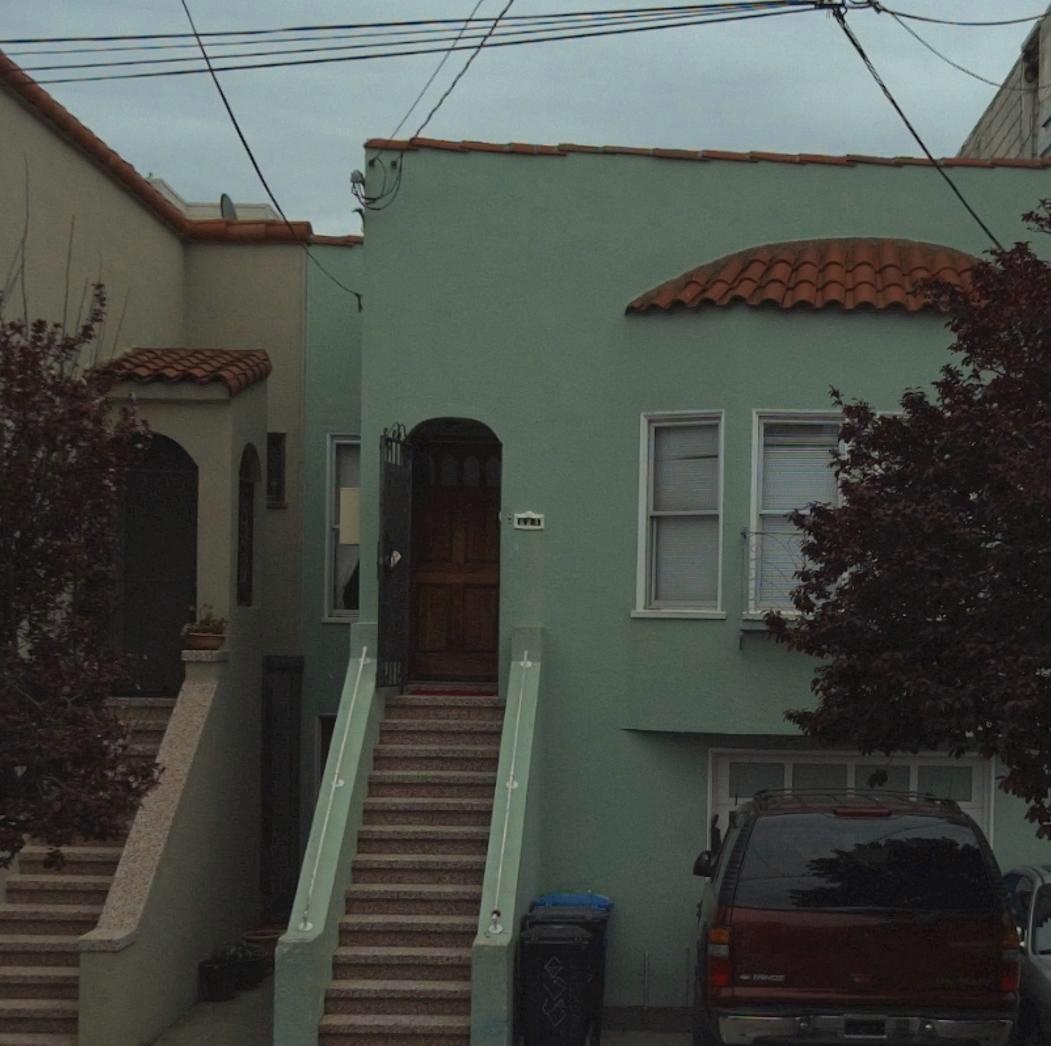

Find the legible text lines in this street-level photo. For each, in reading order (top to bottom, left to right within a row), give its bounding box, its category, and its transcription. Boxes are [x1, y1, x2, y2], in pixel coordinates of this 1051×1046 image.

[517, 517, 541, 526] StreetNumber: 621
[751, 973, 786, 982] None: TAHOE